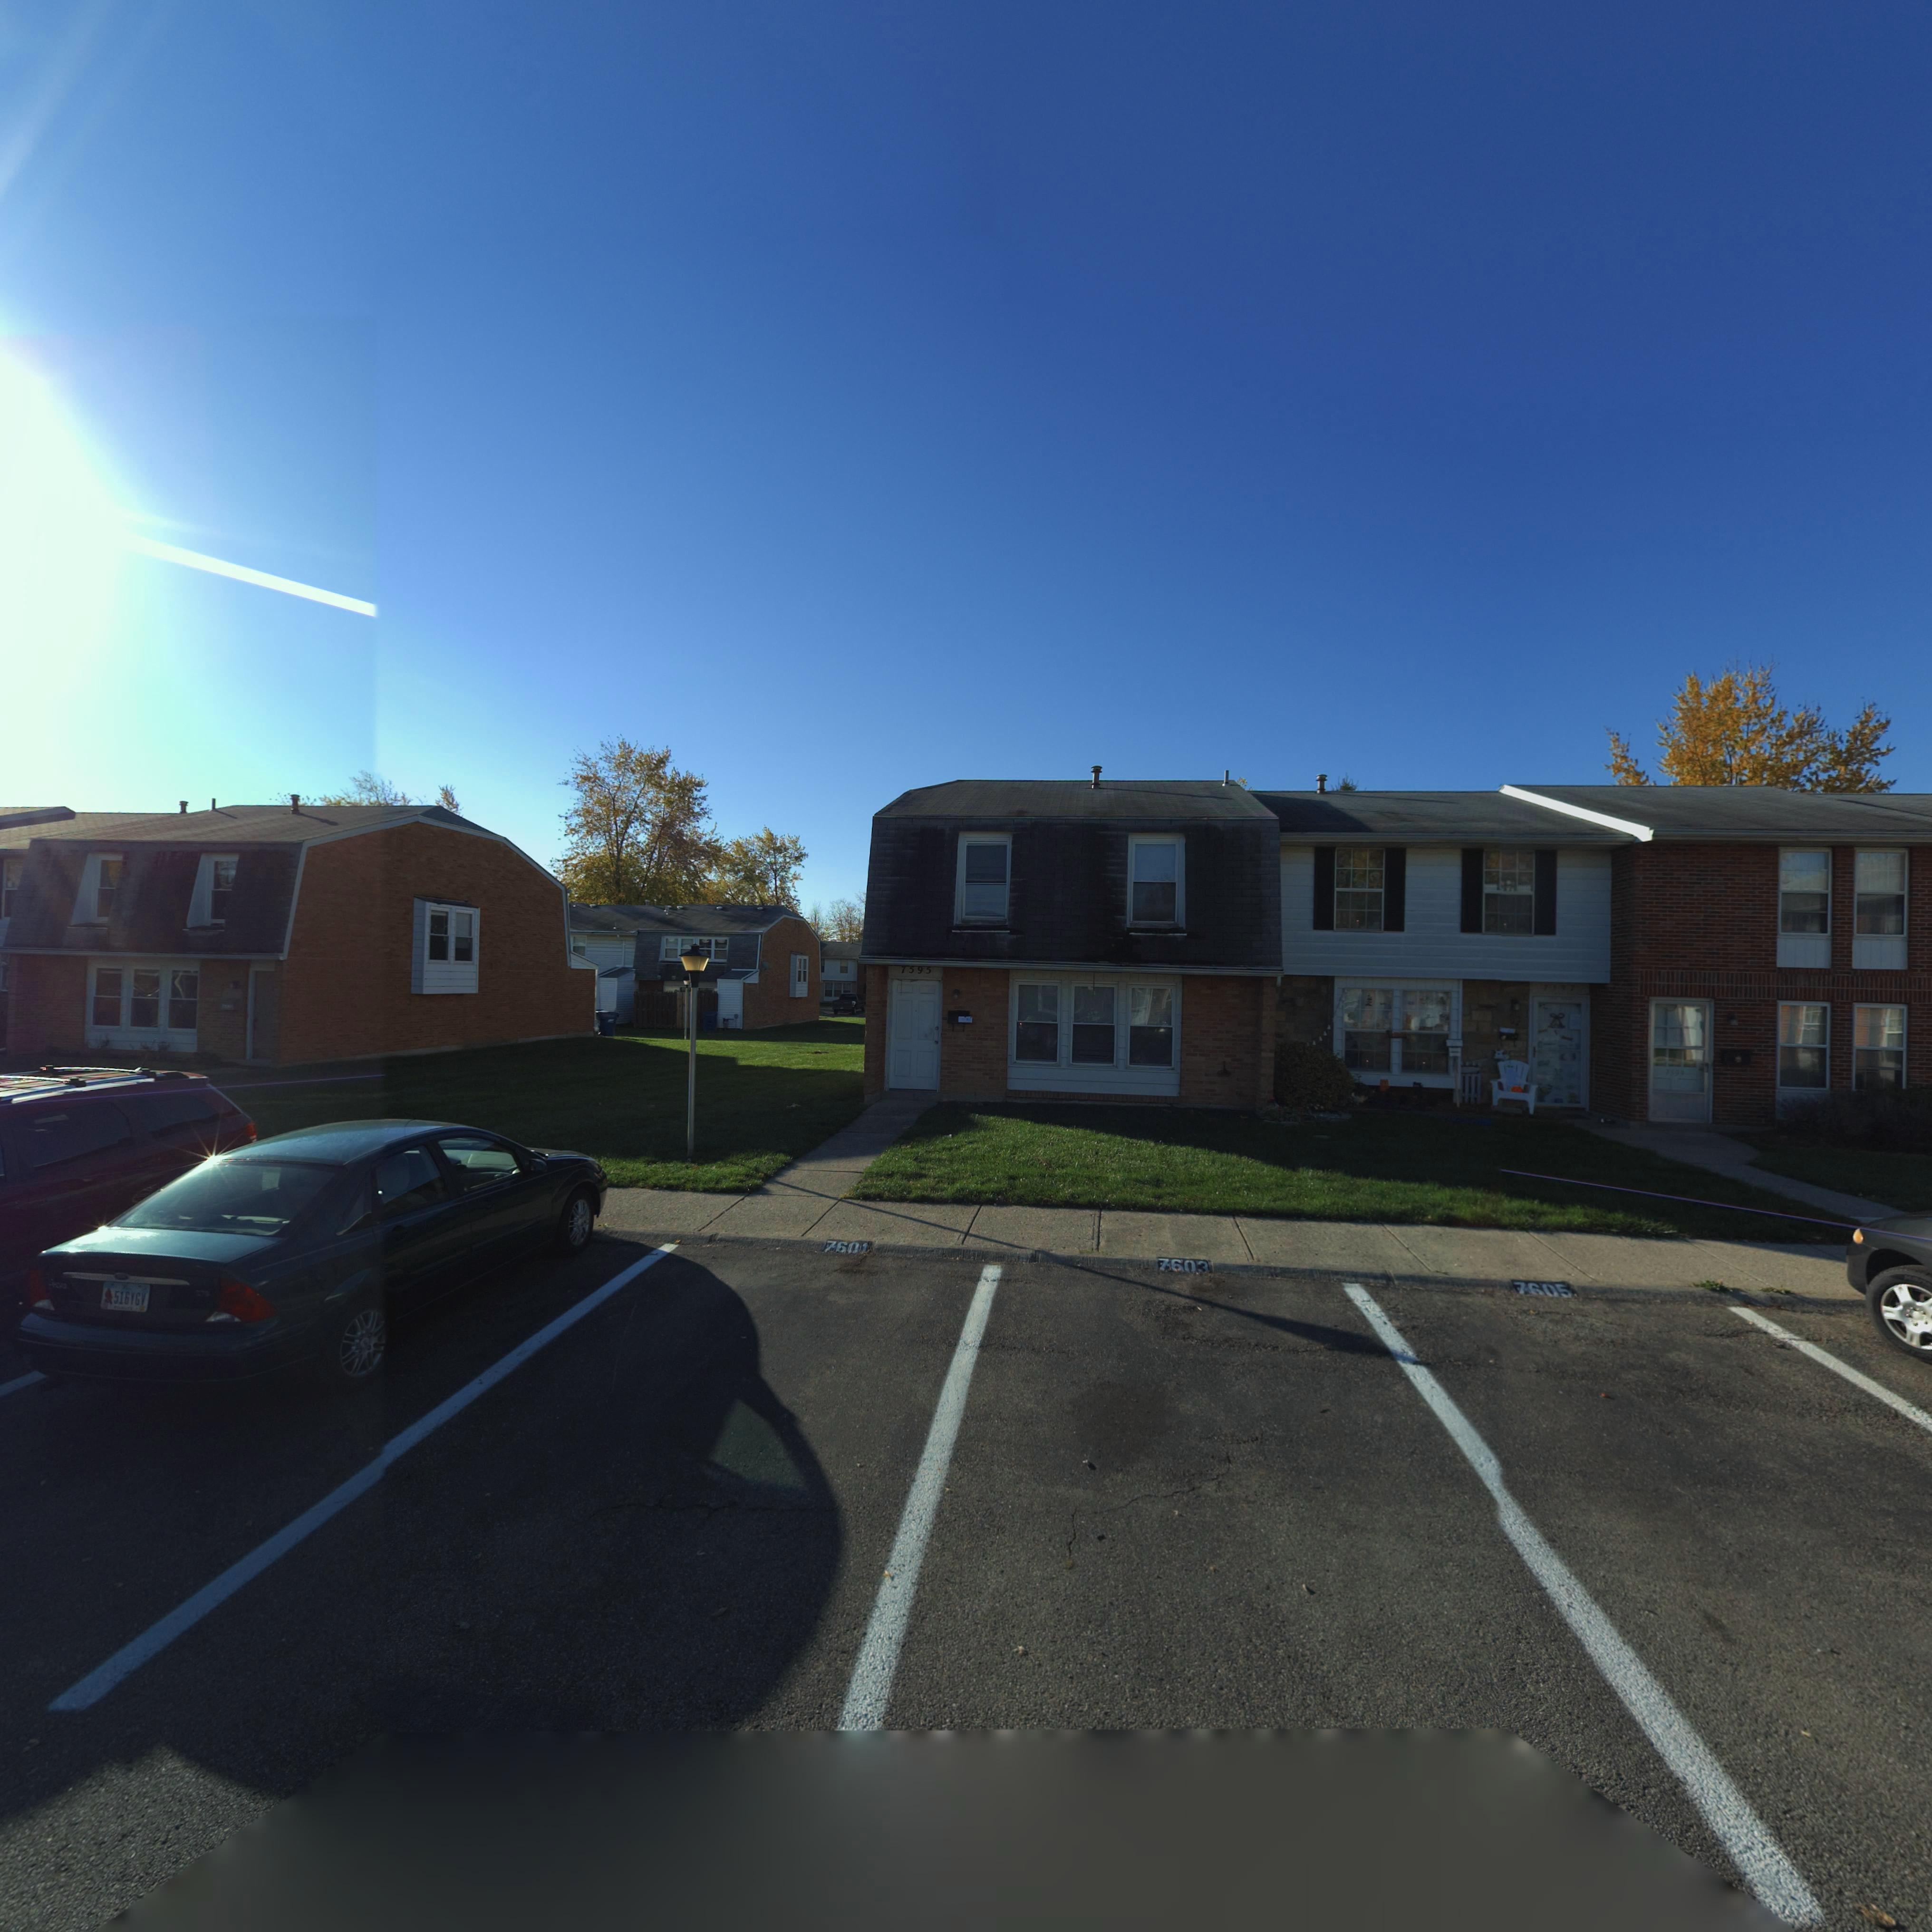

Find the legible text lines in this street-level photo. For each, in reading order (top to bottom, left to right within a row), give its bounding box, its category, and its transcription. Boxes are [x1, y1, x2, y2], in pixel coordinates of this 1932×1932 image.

[900, 965, 932, 975] StreetNumber: 7595
[1542, 984, 1576, 992] StreetNumber: 7597
[1663, 1067, 1686, 1078] StreetNumber: 7599
[822, 1240, 869, 1256] StreetNumber: 7601
[1158, 1257, 1209, 1274] StreetNumber: 7603
[1512, 1281, 1575, 1299] StreetNumber: 7605